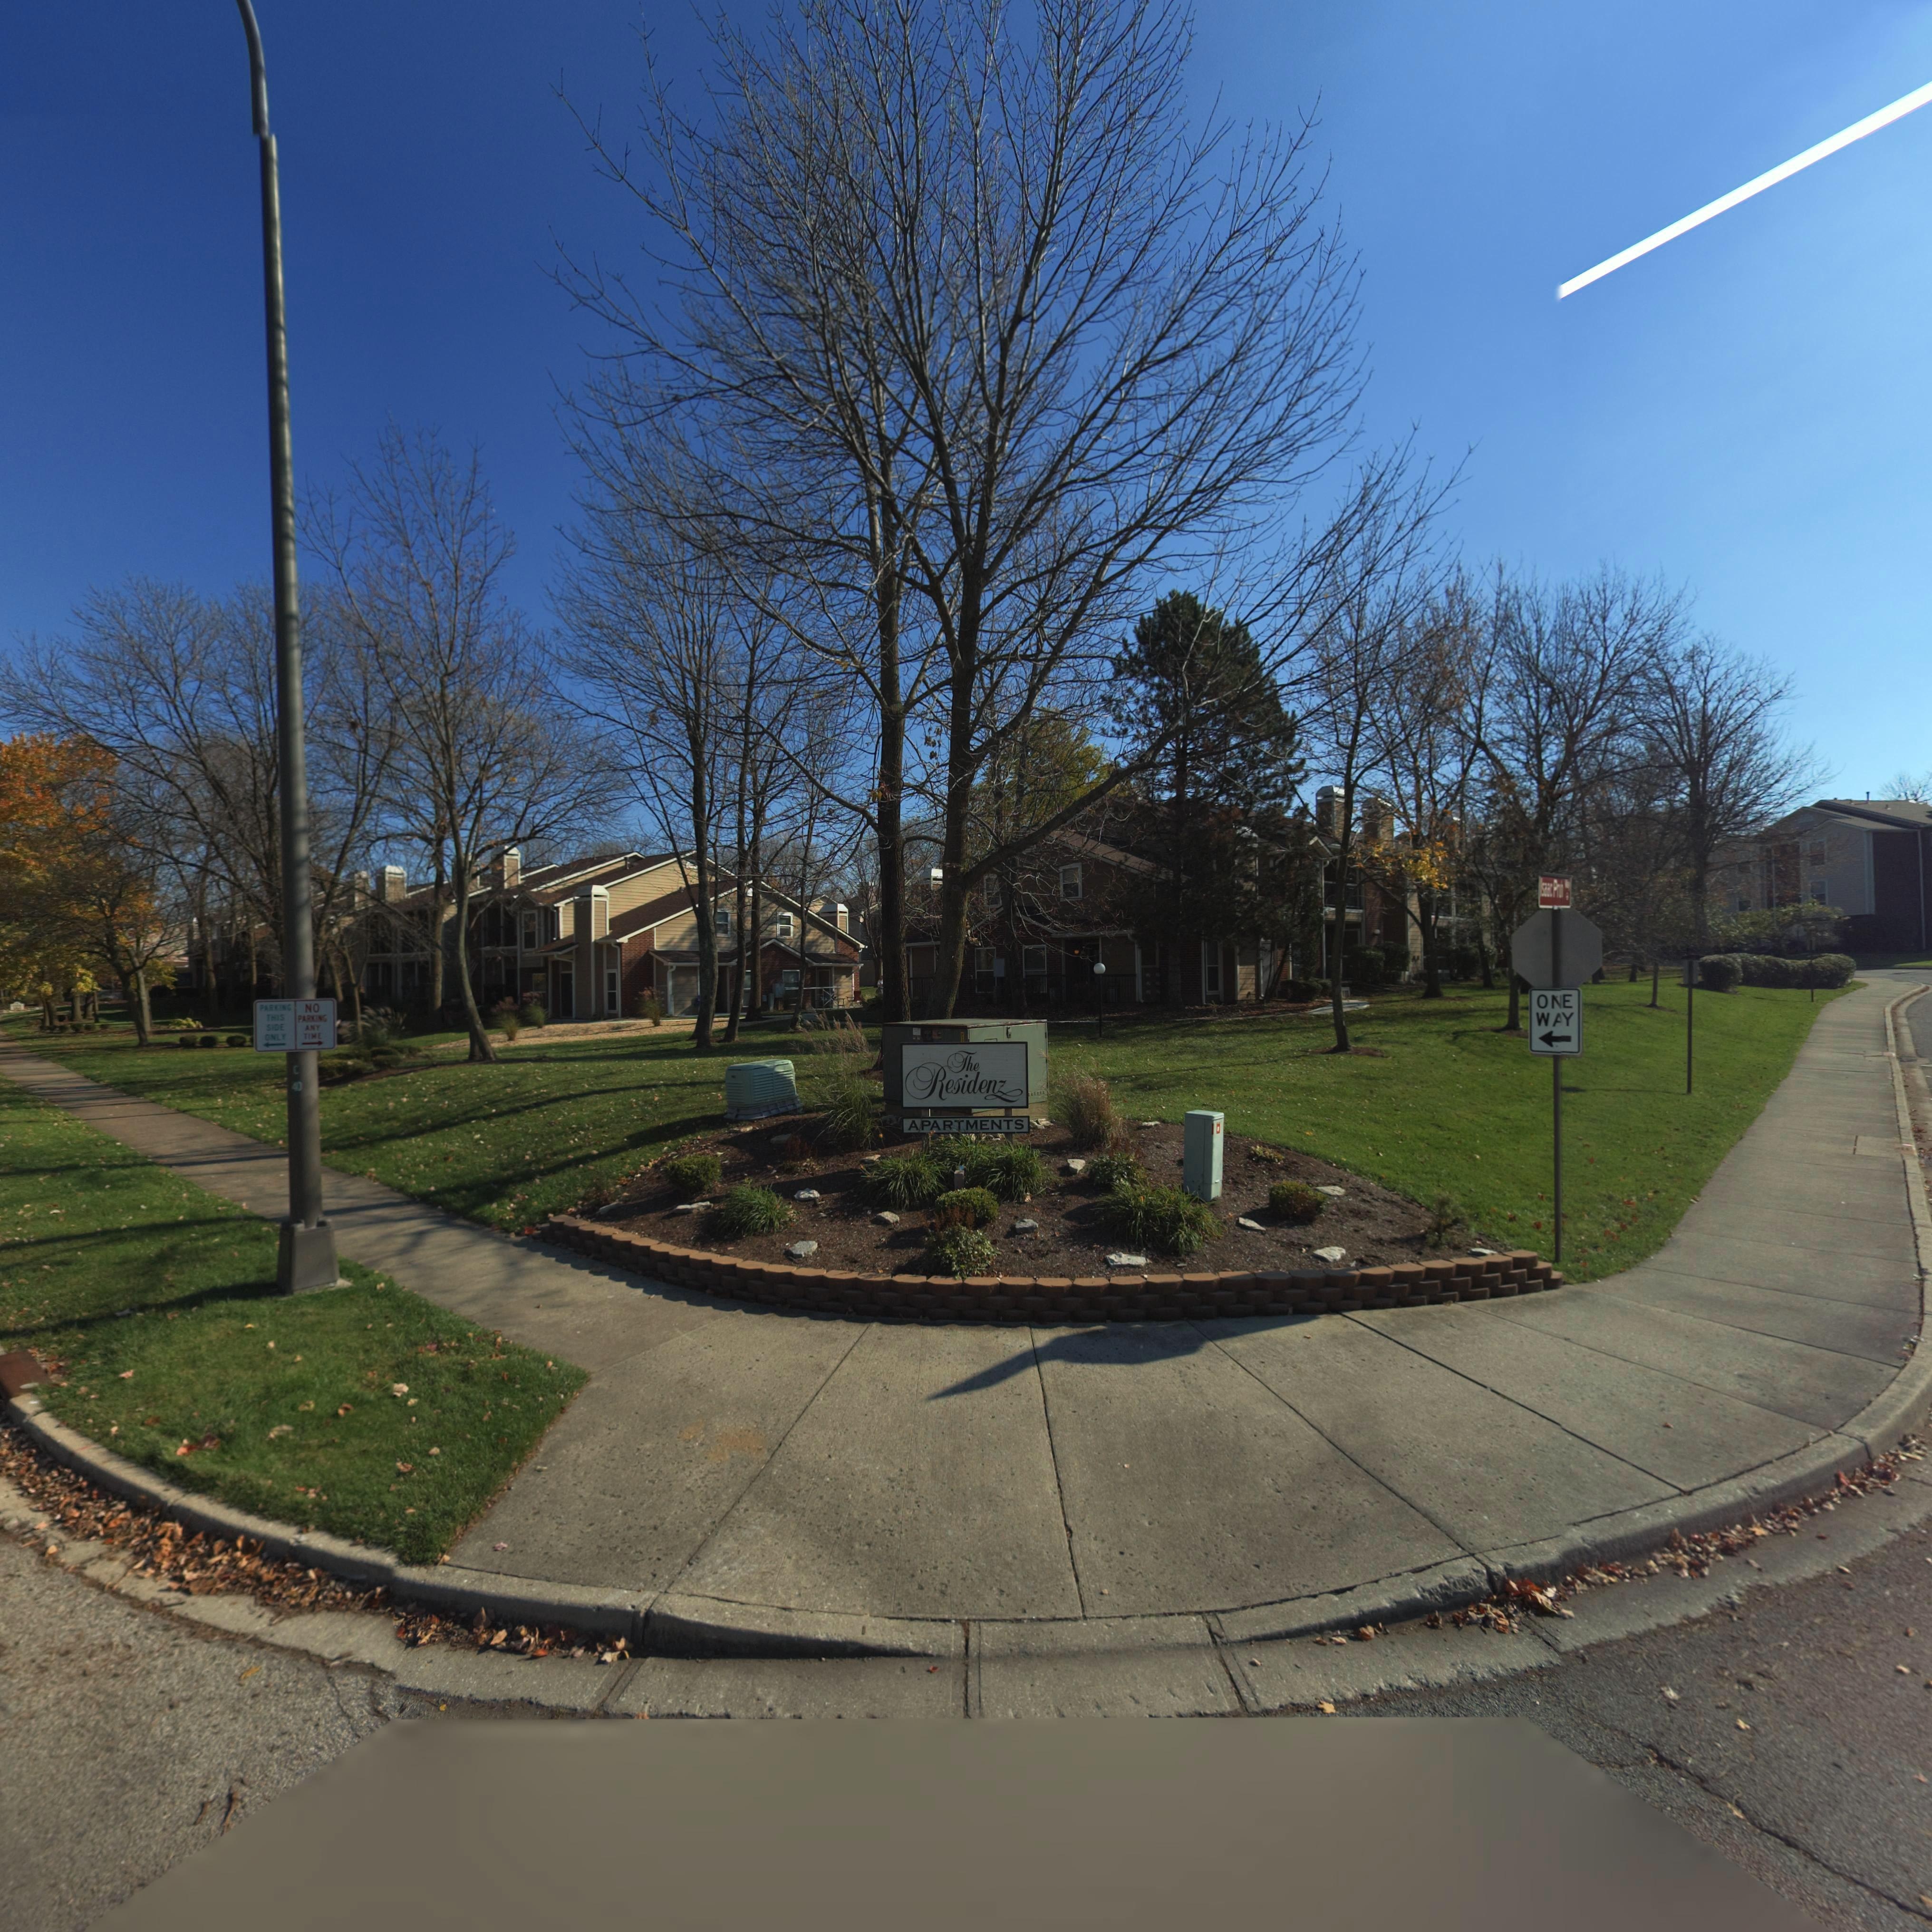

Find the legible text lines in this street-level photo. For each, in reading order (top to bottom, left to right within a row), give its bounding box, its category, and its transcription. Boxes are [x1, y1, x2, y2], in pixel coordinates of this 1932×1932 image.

[1536, 993, 1574, 1009] None: ONE
[259, 1003, 291, 1011] None: PARKING
[304, 1003, 319, 1013] None: NO
[265, 1013, 284, 1022] None: THIS
[297, 1014, 328, 1023] None: PARKING
[1535, 1011, 1575, 1027] None: W*Y
[265, 1023, 285, 1032] None: SIDE
[303, 1023, 320, 1031] None: ANY
[263, 1033, 286, 1041] None: ONLY
[303, 1032, 322, 1039] None: TIME
[946, 1049, 981, 1073] BusinessName: The
[904, 1061, 1025, 1104] BusinessName: Residenz
[906, 1119, 1024, 1130] None: APARTMENTS